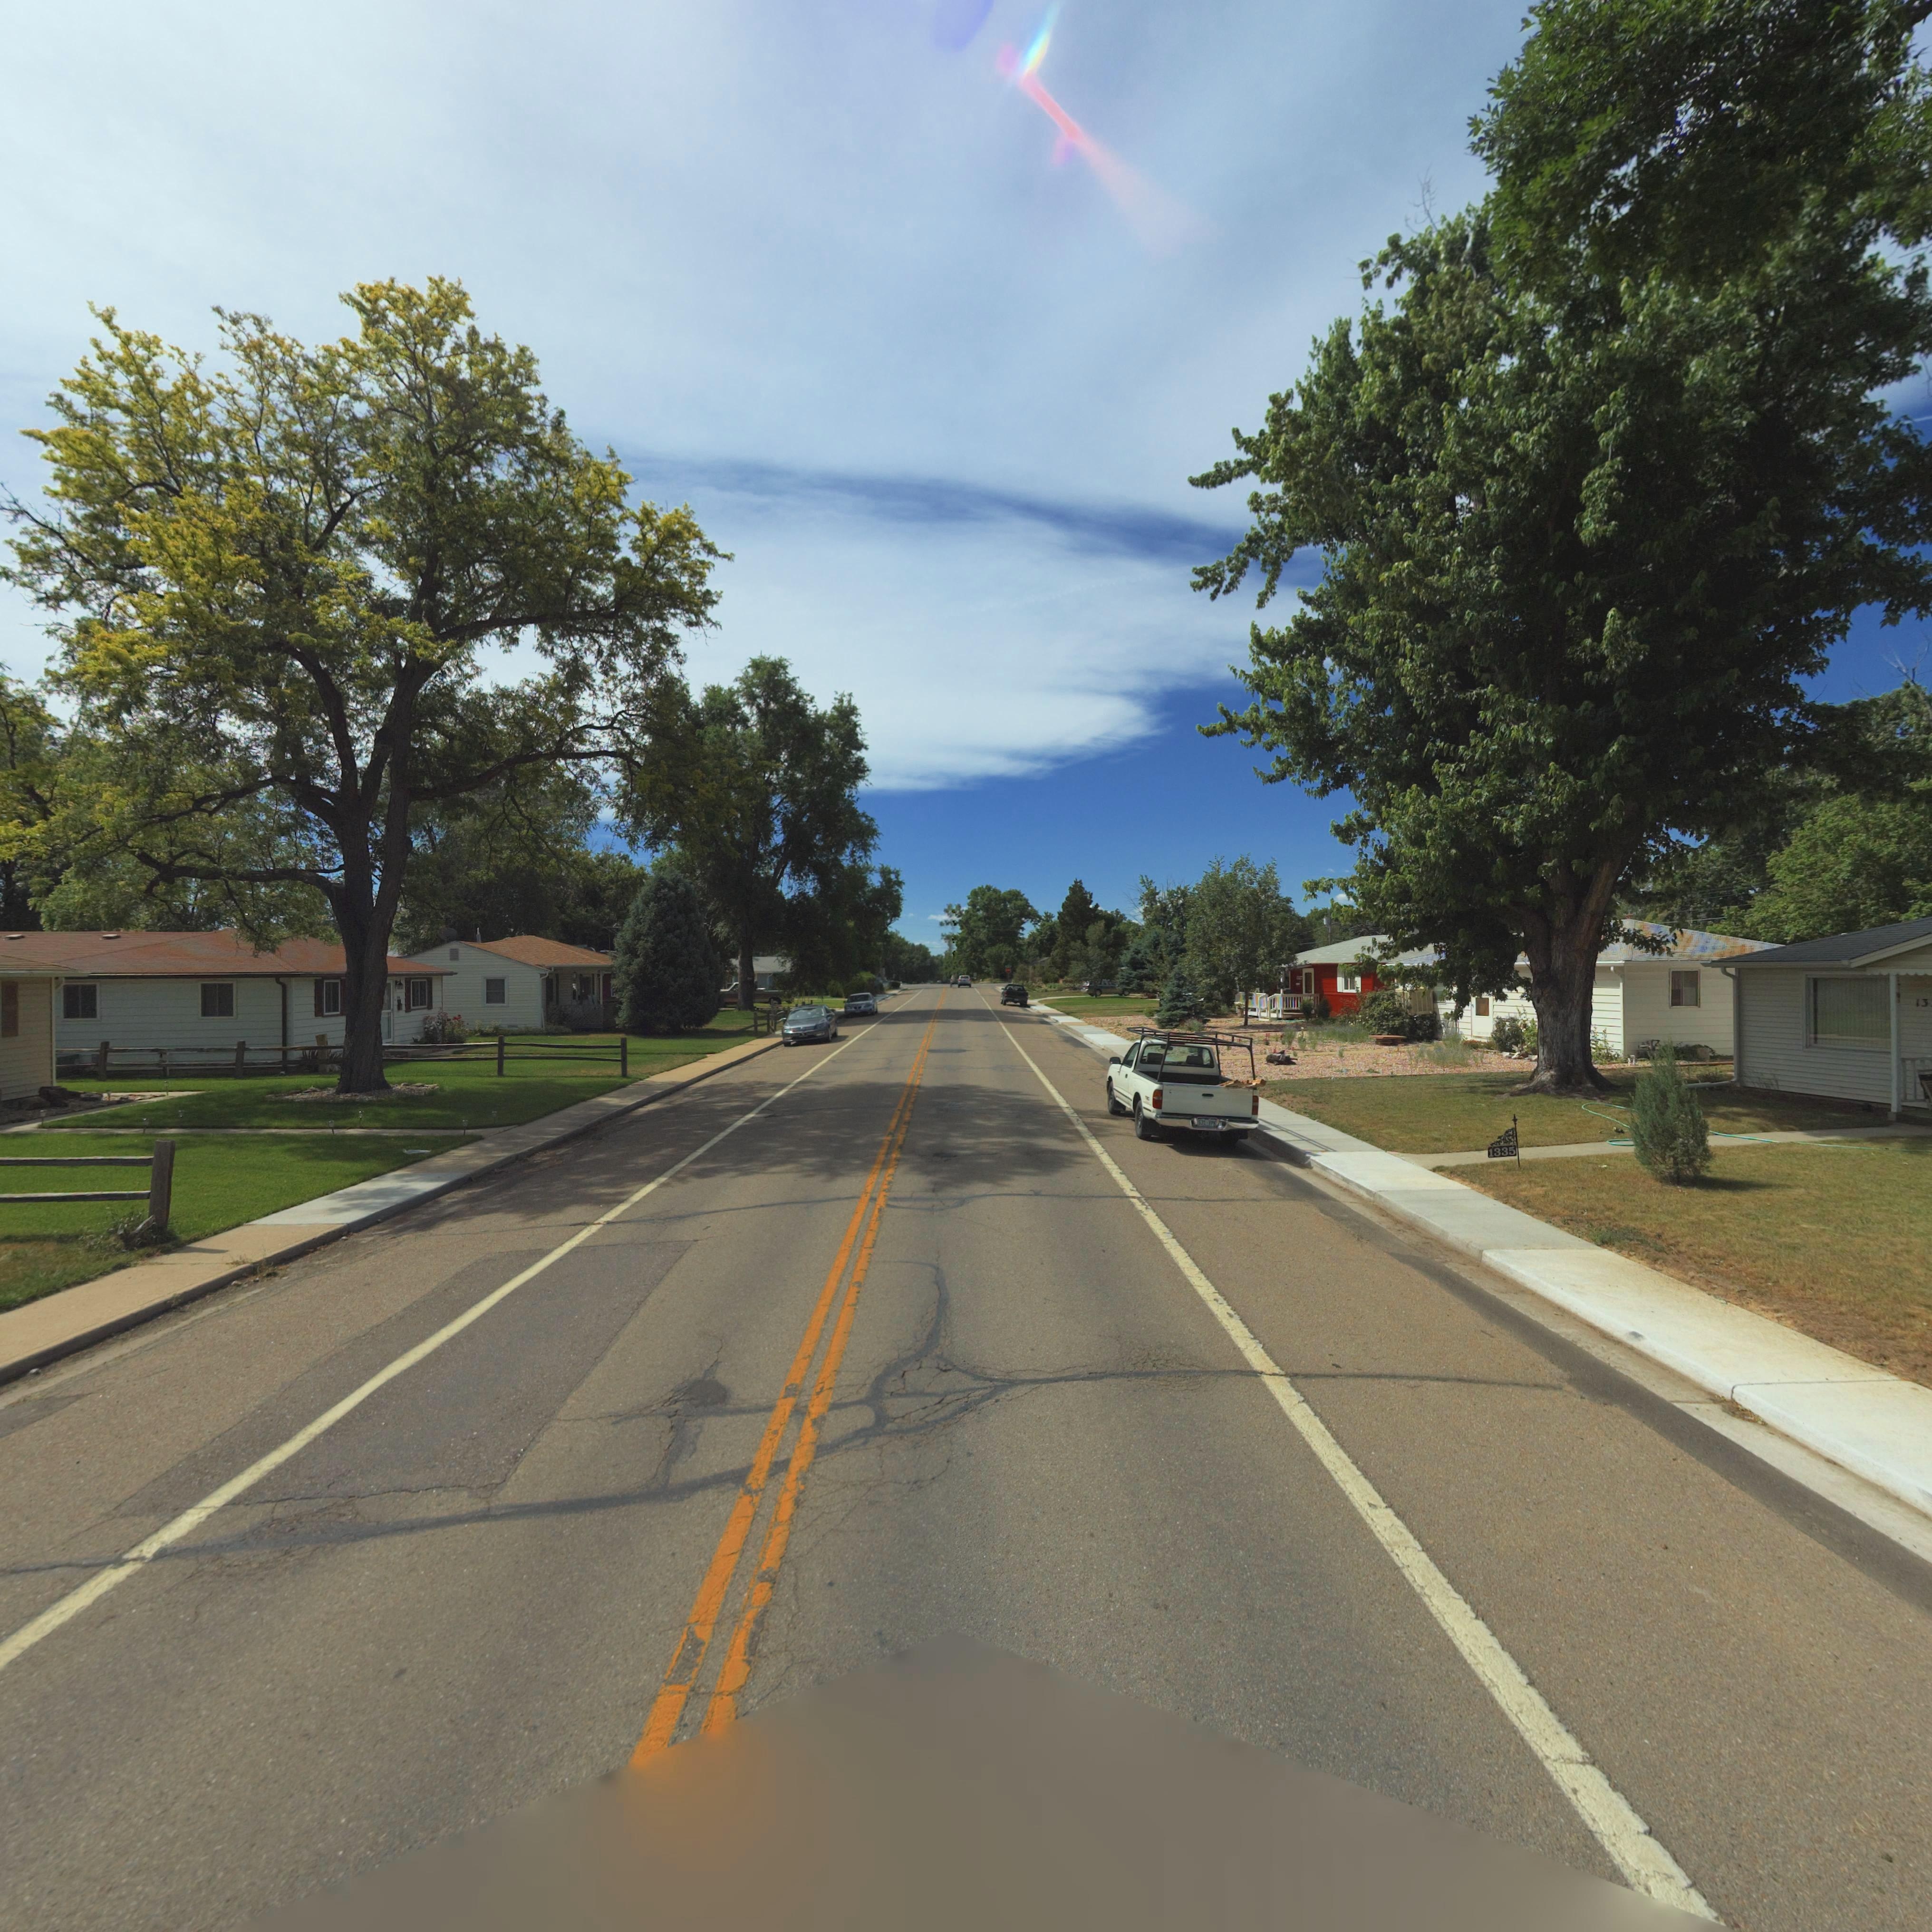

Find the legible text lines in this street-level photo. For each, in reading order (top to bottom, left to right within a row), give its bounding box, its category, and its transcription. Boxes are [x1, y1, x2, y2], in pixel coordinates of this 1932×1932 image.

[1915, 998, 1928, 1007] StreetNumber: 13
[1488, 1147, 1516, 1157] StreetNumber: 1335